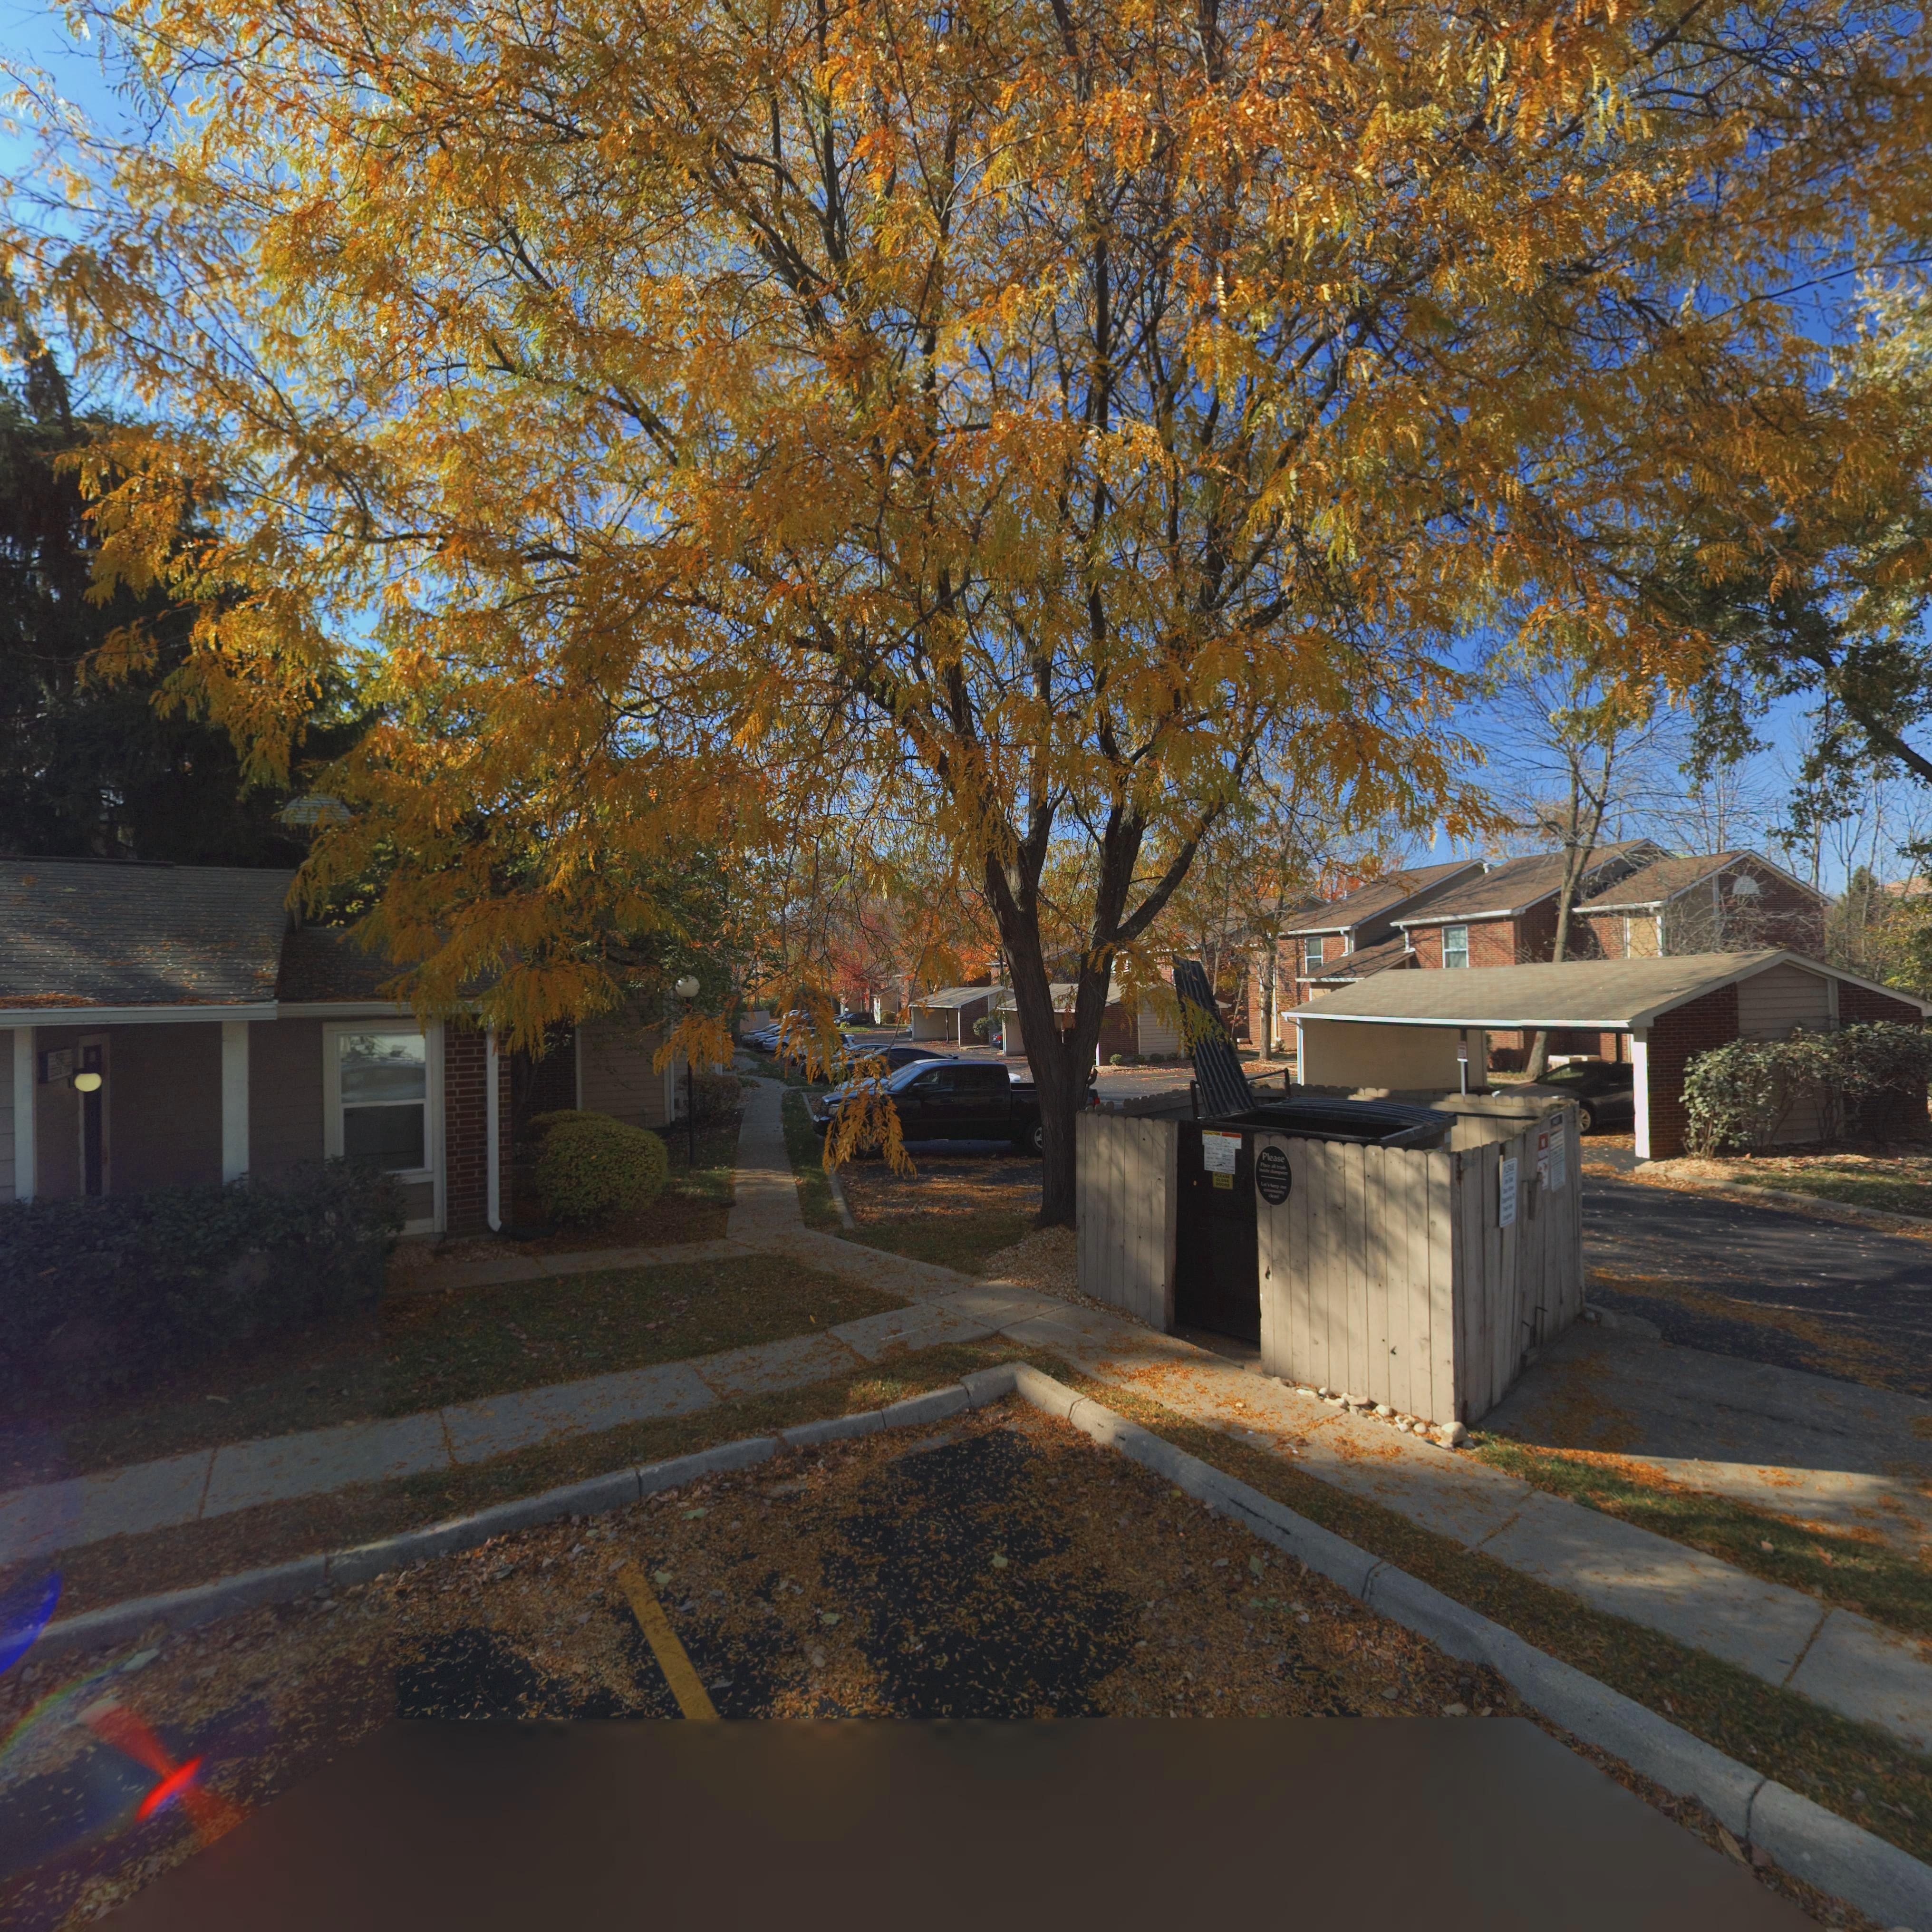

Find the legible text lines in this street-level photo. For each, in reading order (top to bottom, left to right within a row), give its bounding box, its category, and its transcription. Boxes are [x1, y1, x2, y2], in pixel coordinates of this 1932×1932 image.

[1262, 1151, 1286, 1164] None: Please